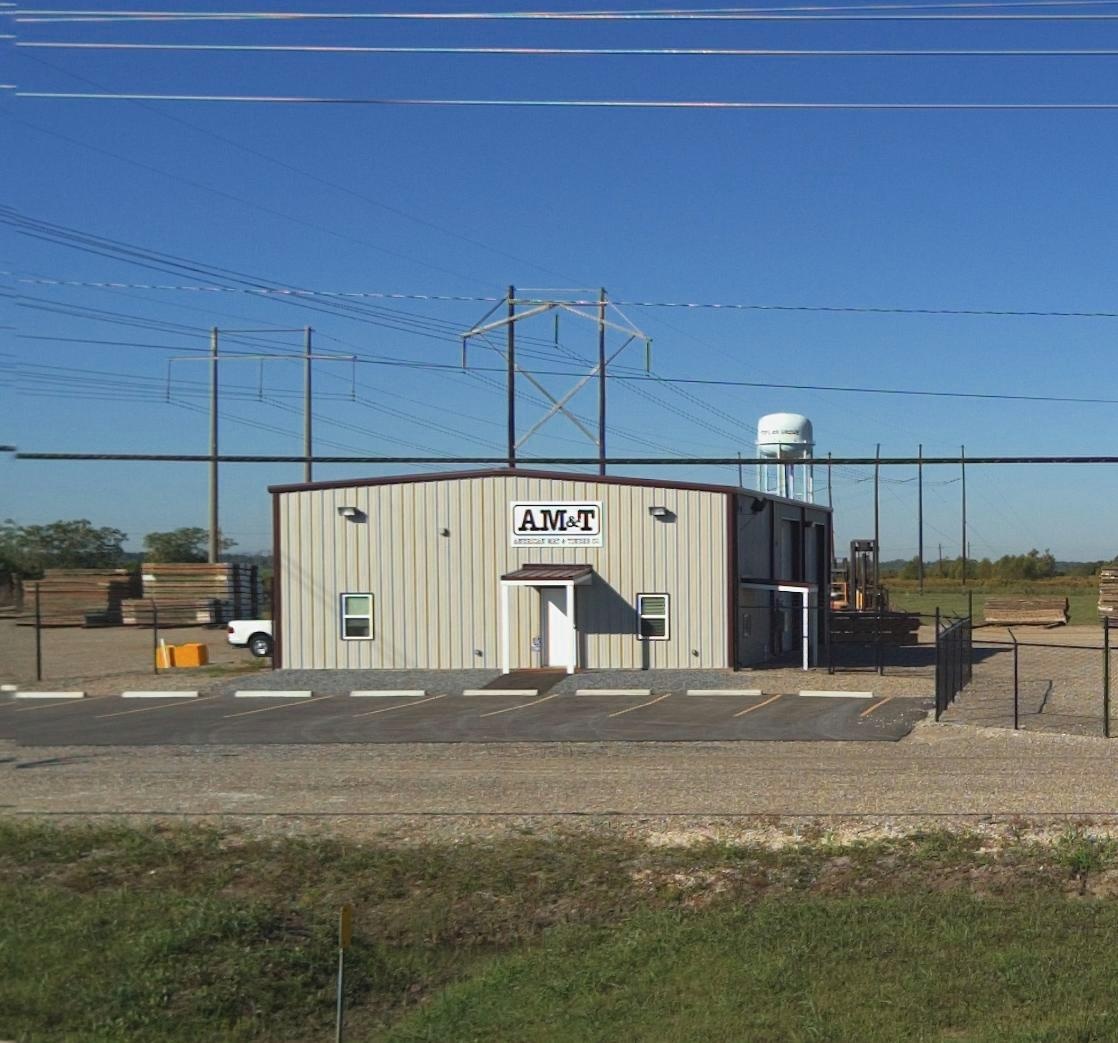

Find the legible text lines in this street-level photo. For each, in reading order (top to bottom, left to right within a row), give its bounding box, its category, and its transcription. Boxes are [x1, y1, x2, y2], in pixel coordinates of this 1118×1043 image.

[517, 508, 596, 532] BusinessName: AM&T